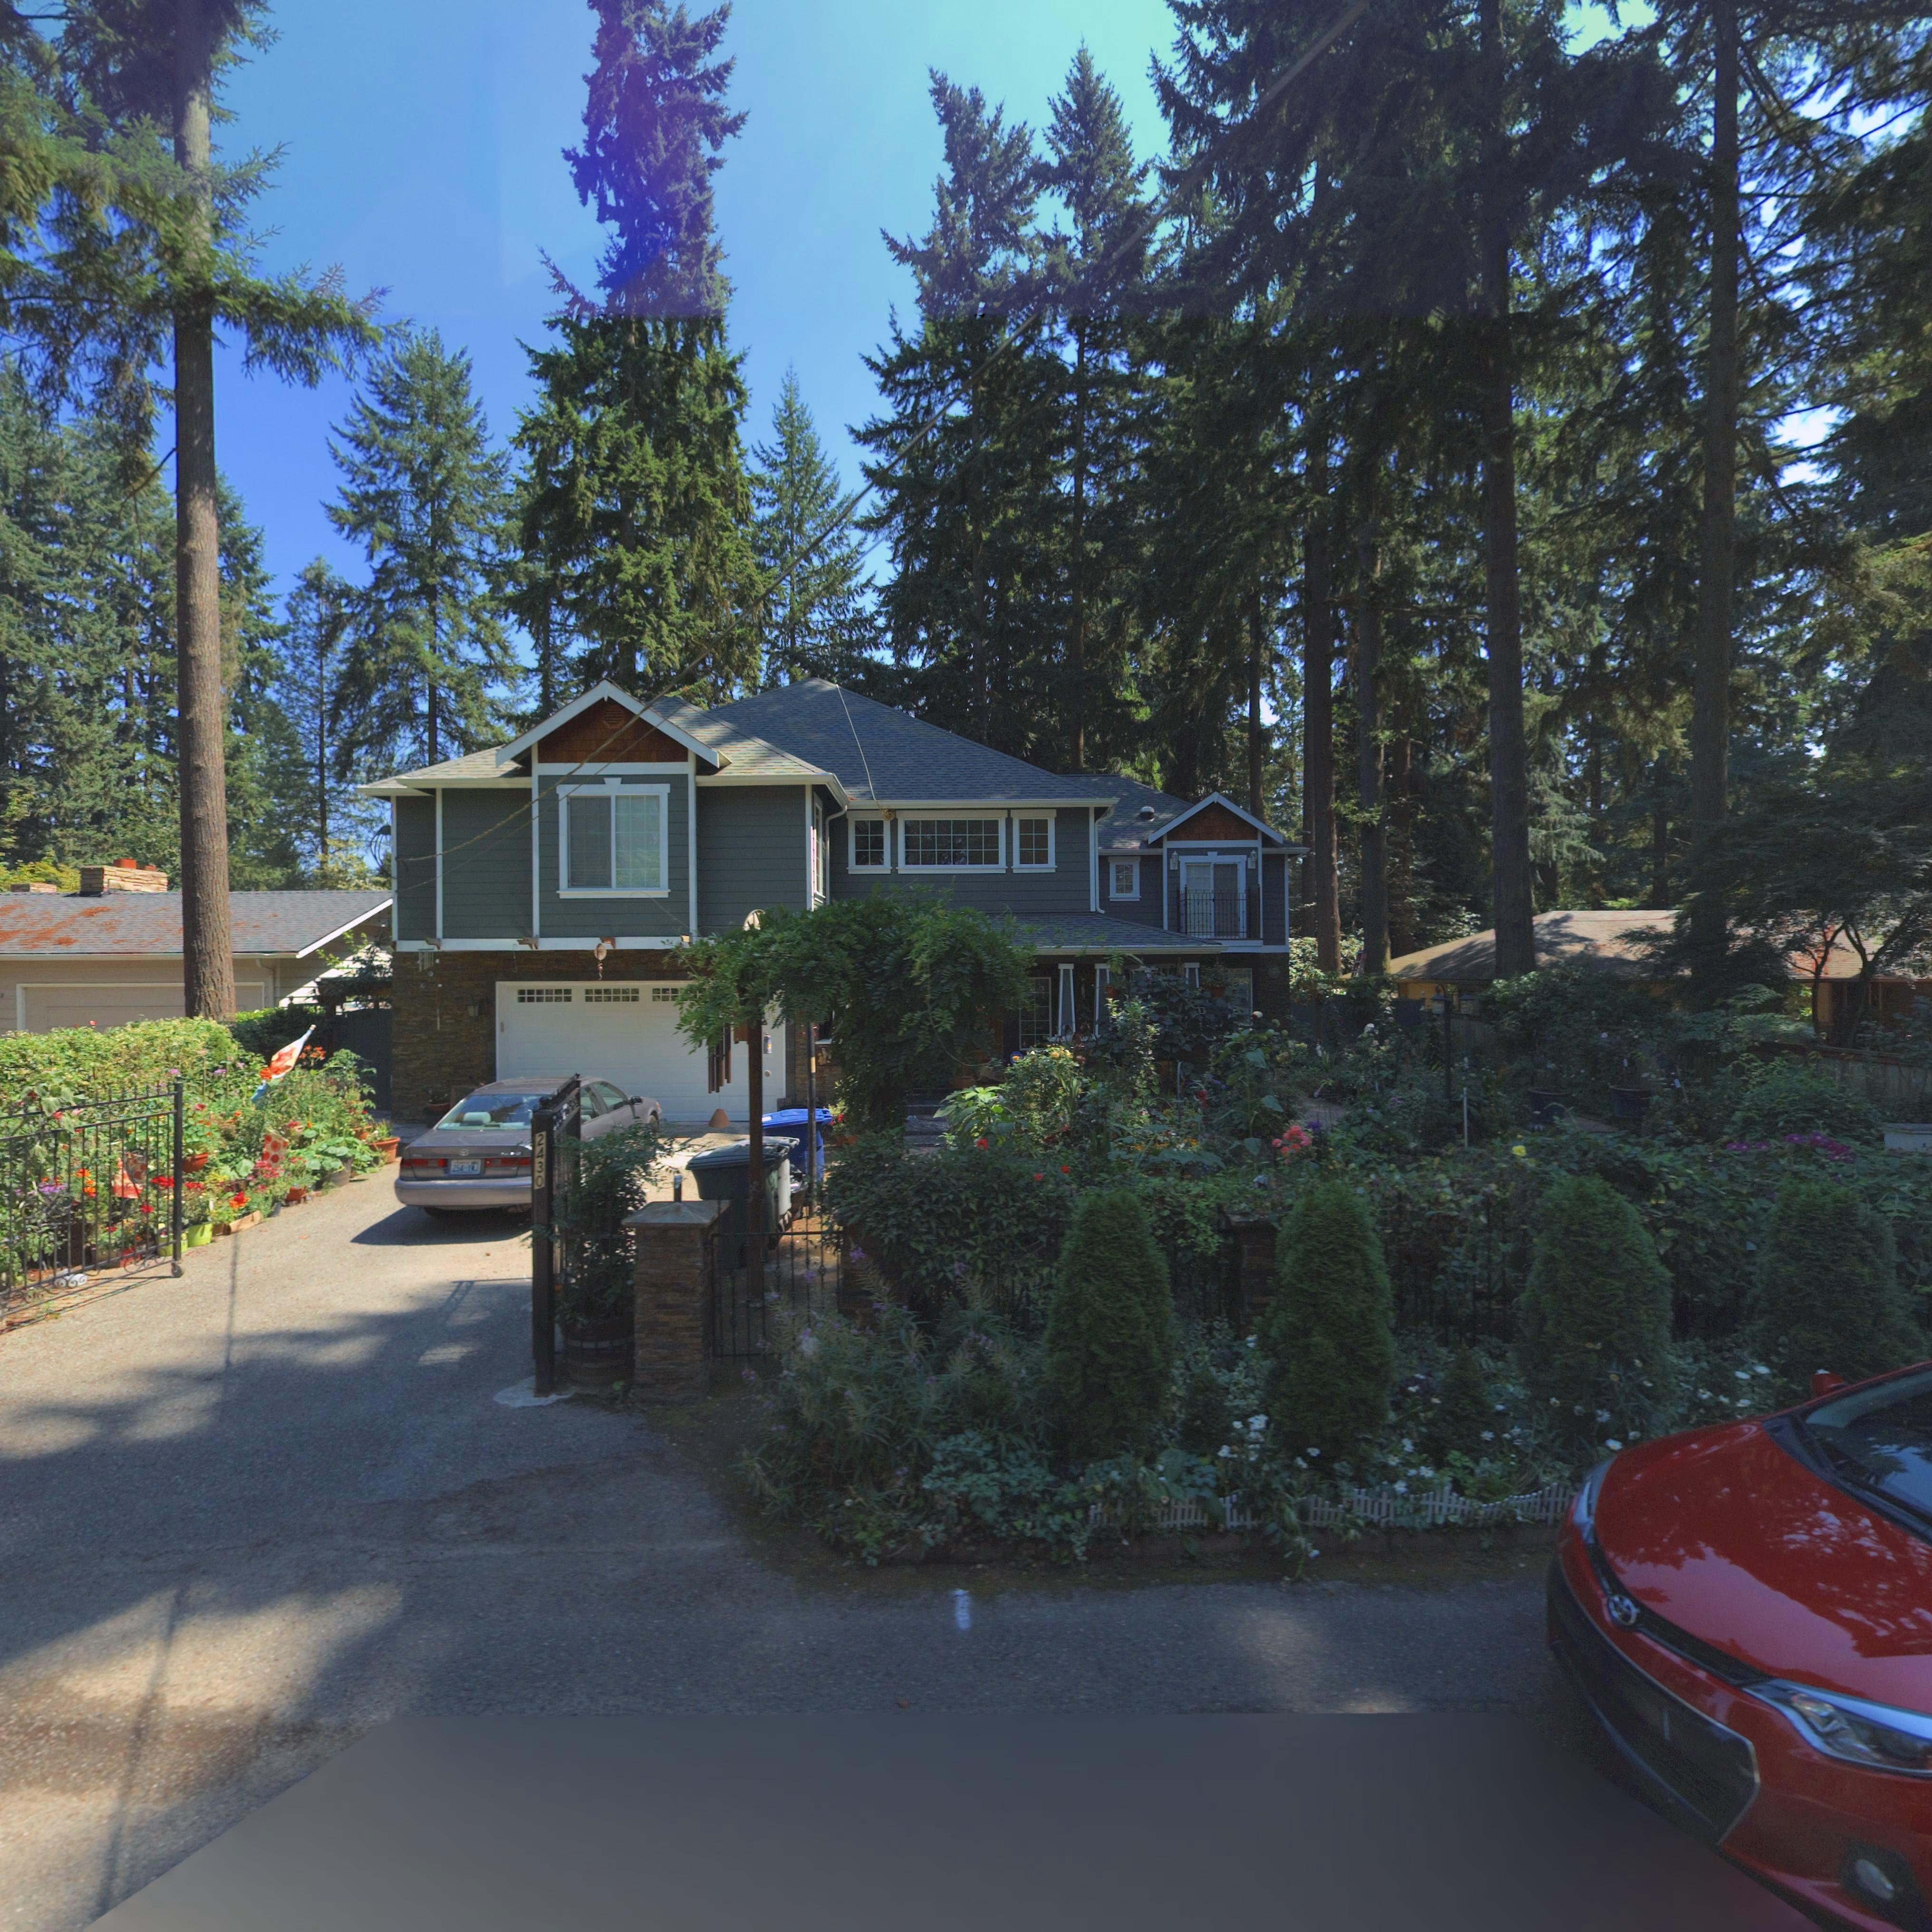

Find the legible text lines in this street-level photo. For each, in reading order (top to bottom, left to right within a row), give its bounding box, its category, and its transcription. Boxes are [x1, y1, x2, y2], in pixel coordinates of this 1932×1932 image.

[535, 1134, 544, 1187] StreetNumber: 2430